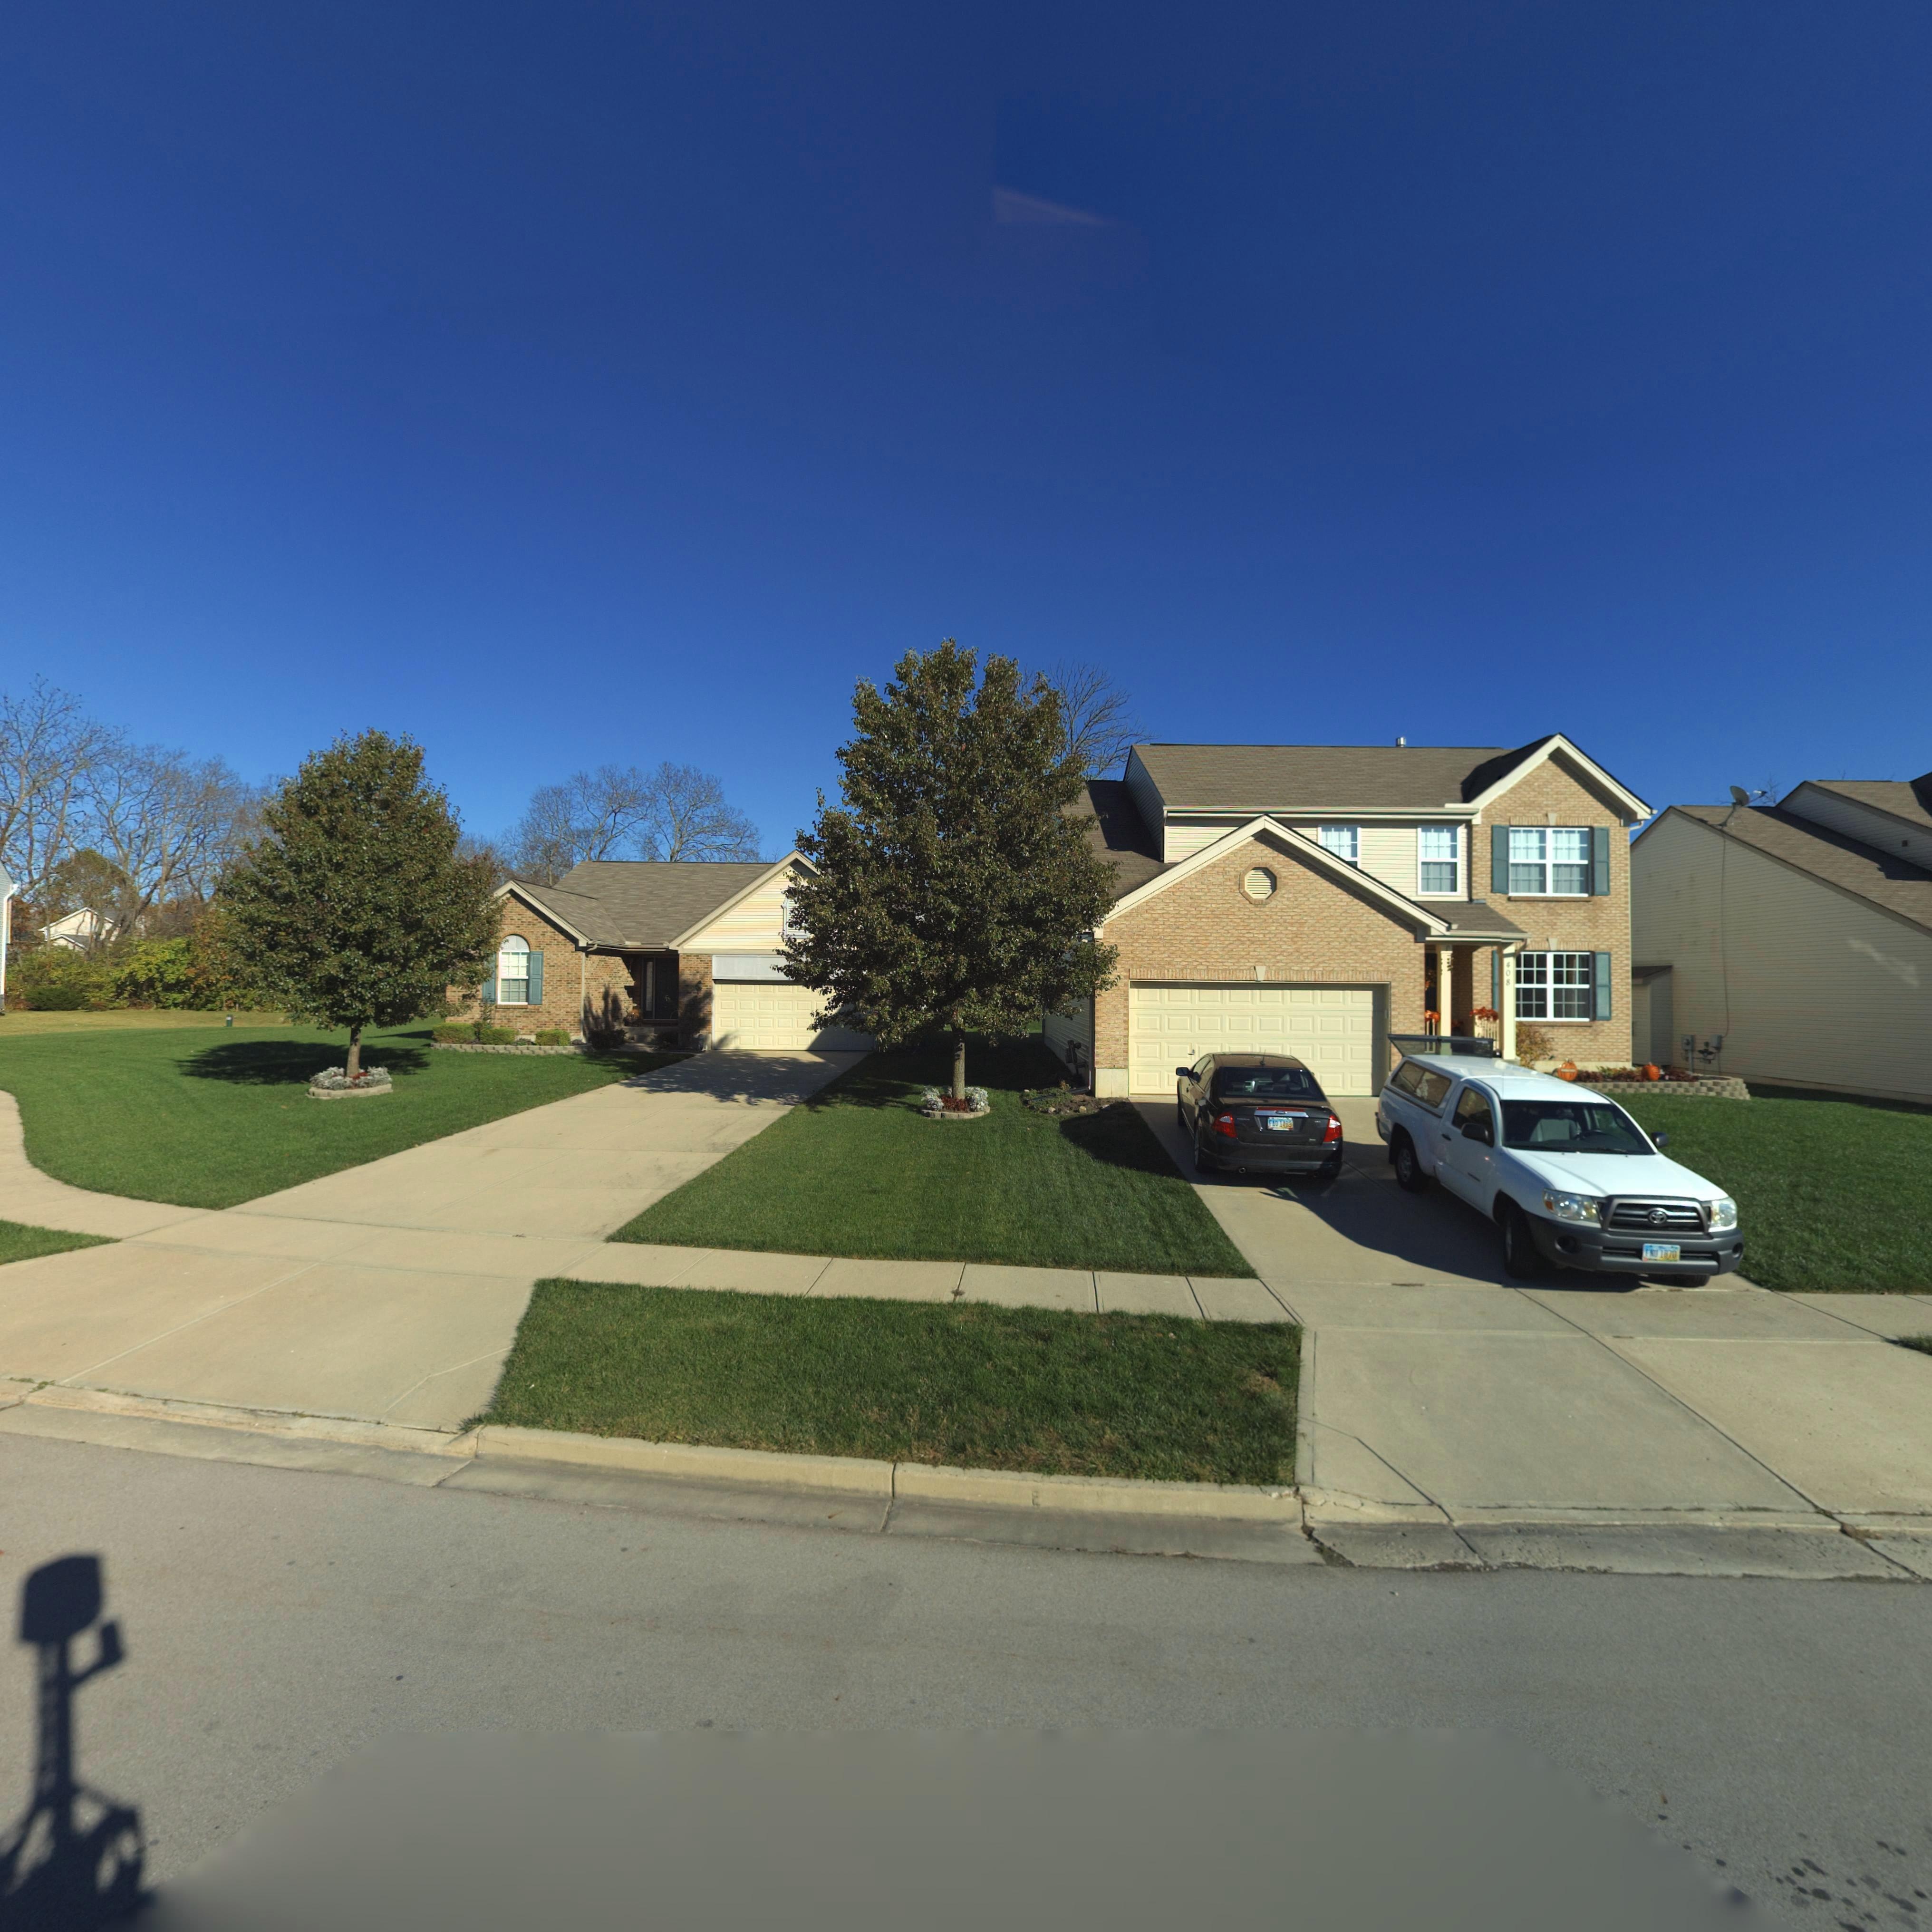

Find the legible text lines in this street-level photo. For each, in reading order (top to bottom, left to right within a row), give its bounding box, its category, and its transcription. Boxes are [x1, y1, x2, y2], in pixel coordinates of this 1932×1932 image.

[1505, 961, 1512, 985] StreetNumber: 408